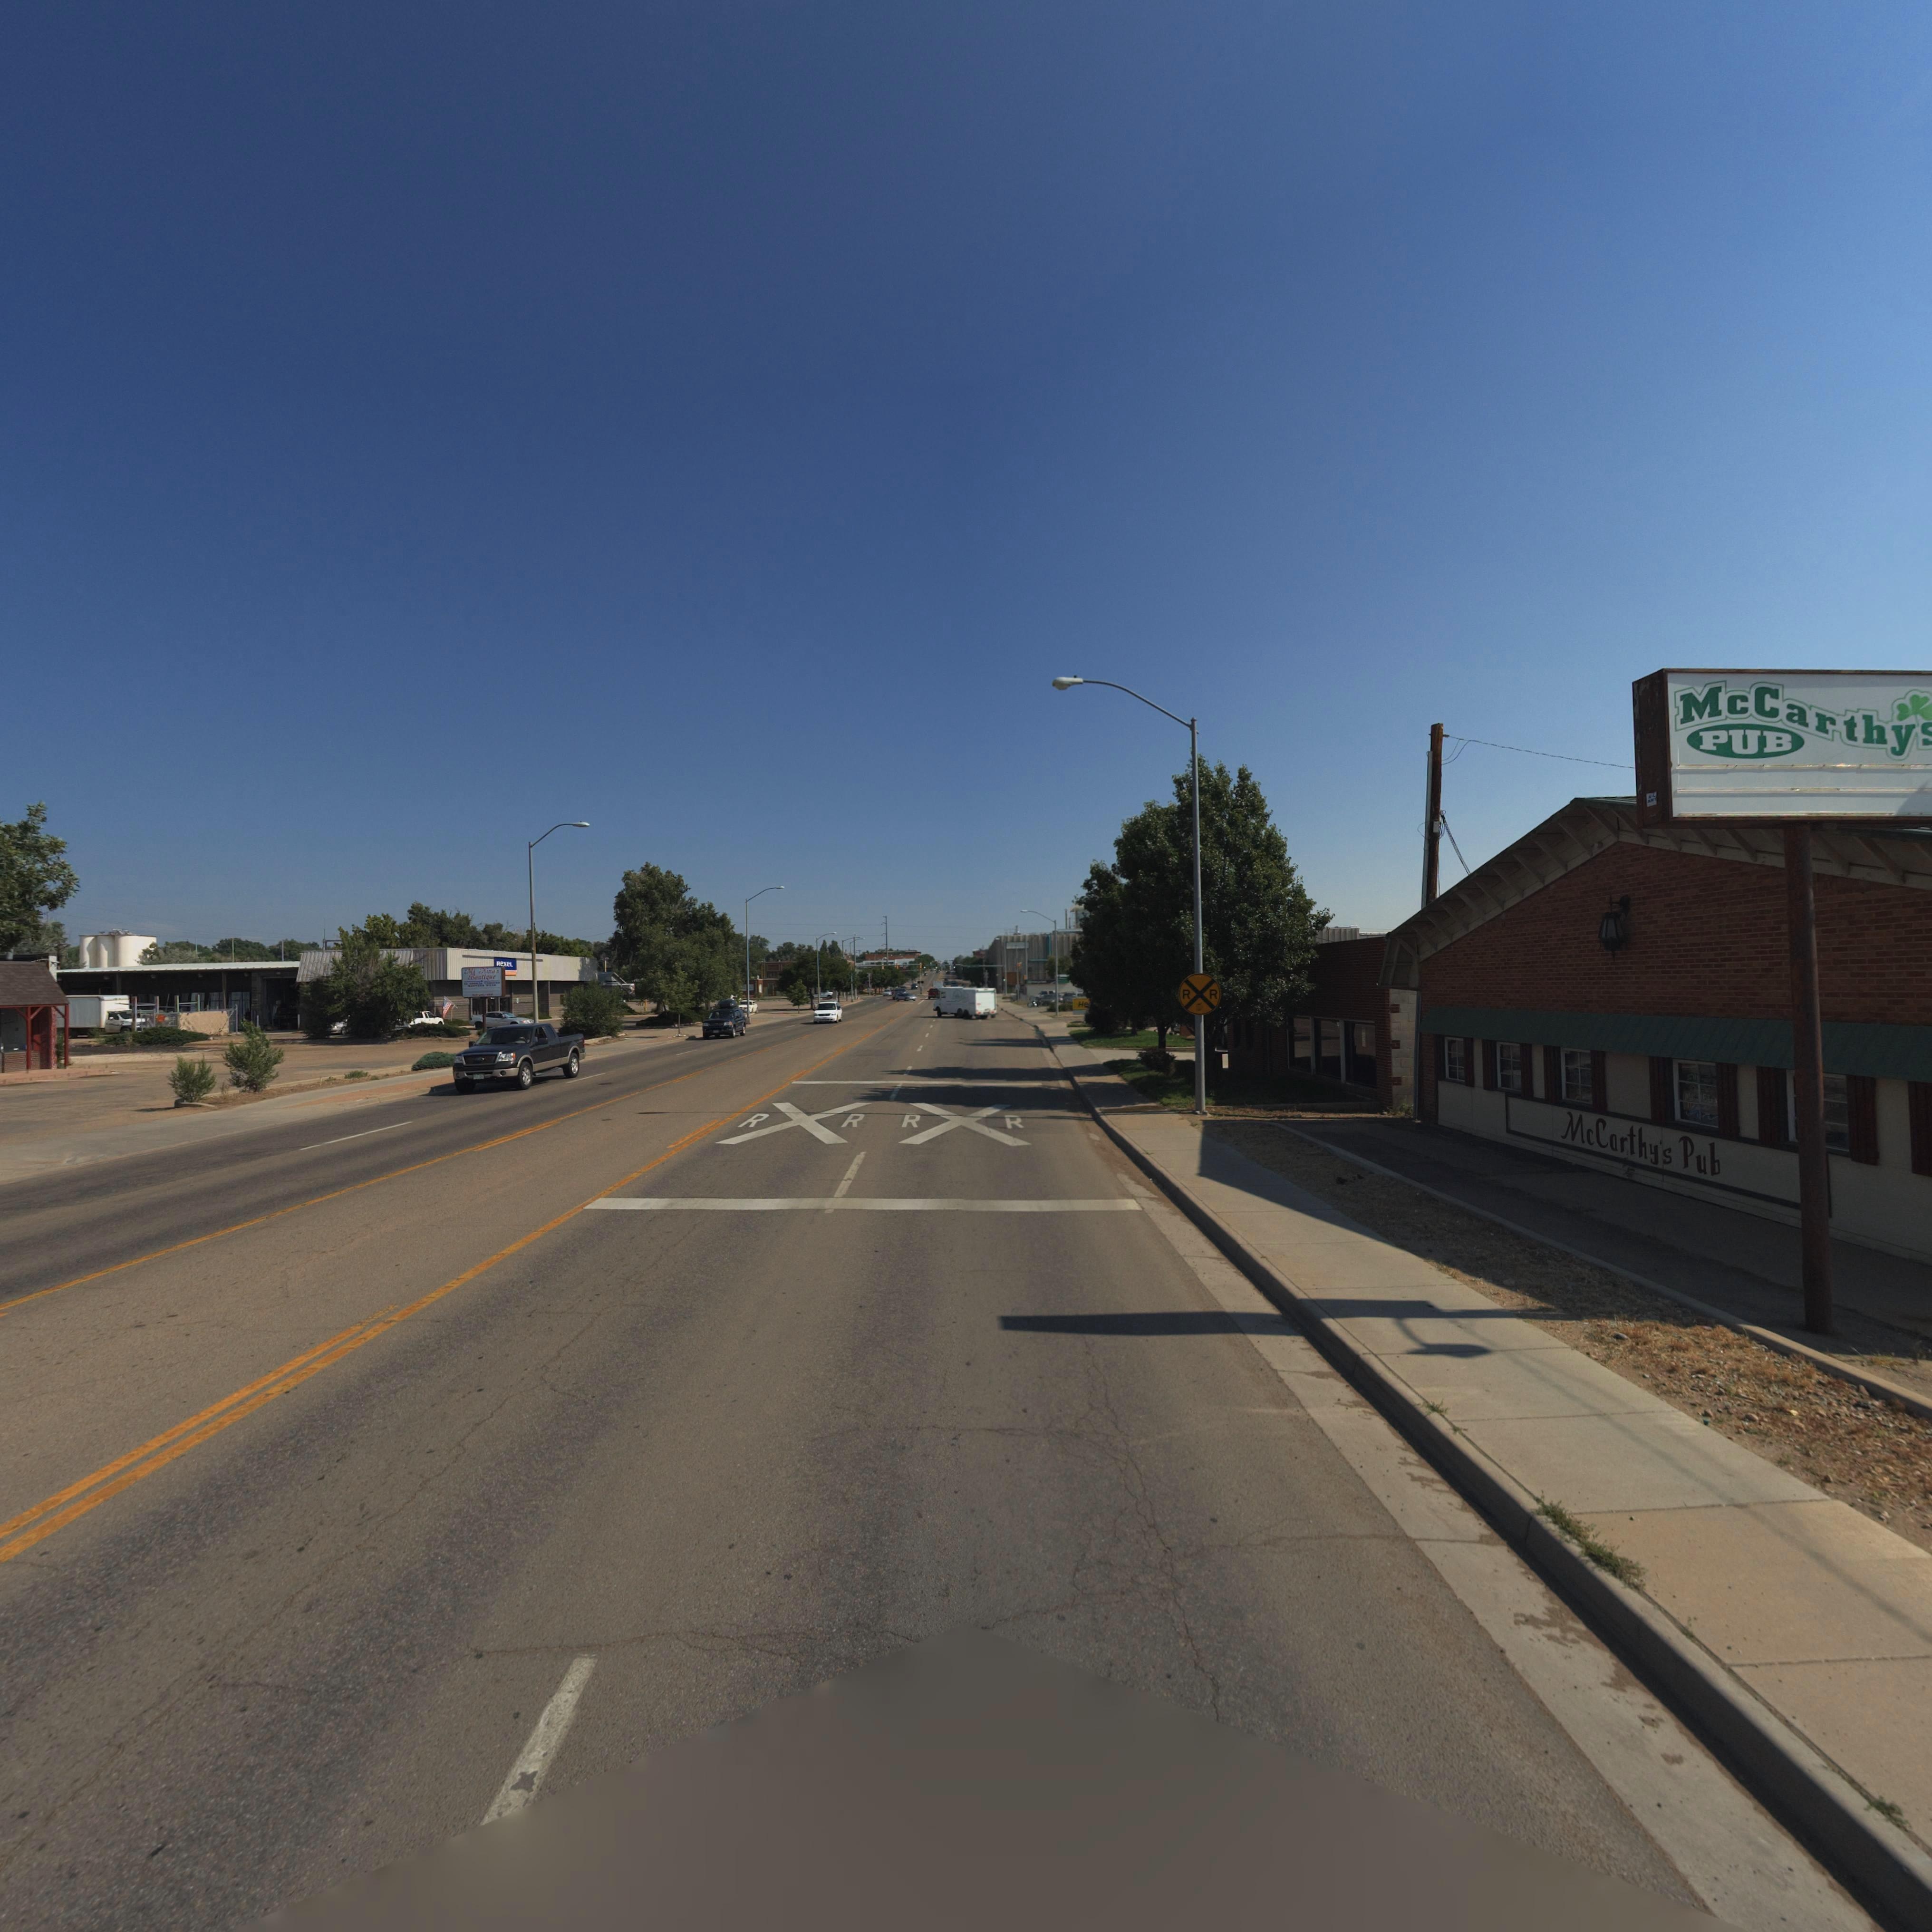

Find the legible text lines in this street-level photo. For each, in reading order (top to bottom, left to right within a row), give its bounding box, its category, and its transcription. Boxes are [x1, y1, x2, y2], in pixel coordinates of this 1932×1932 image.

[1680, 685, 1918, 759] BusinessName: McCarthys
[1699, 729, 1792, 755] BusinessName: PUB
[496, 961, 513, 966] BusinessName: REXEL
[464, 967, 500, 974] BusinessName: Mi Nina's
[467, 974, 496, 980] BusinessName: Boutique
[1078, 1001, 1090, 1007] BusinessName: H*
[1560, 1111, 1720, 1177] BusinessName: McCarthy's Pub